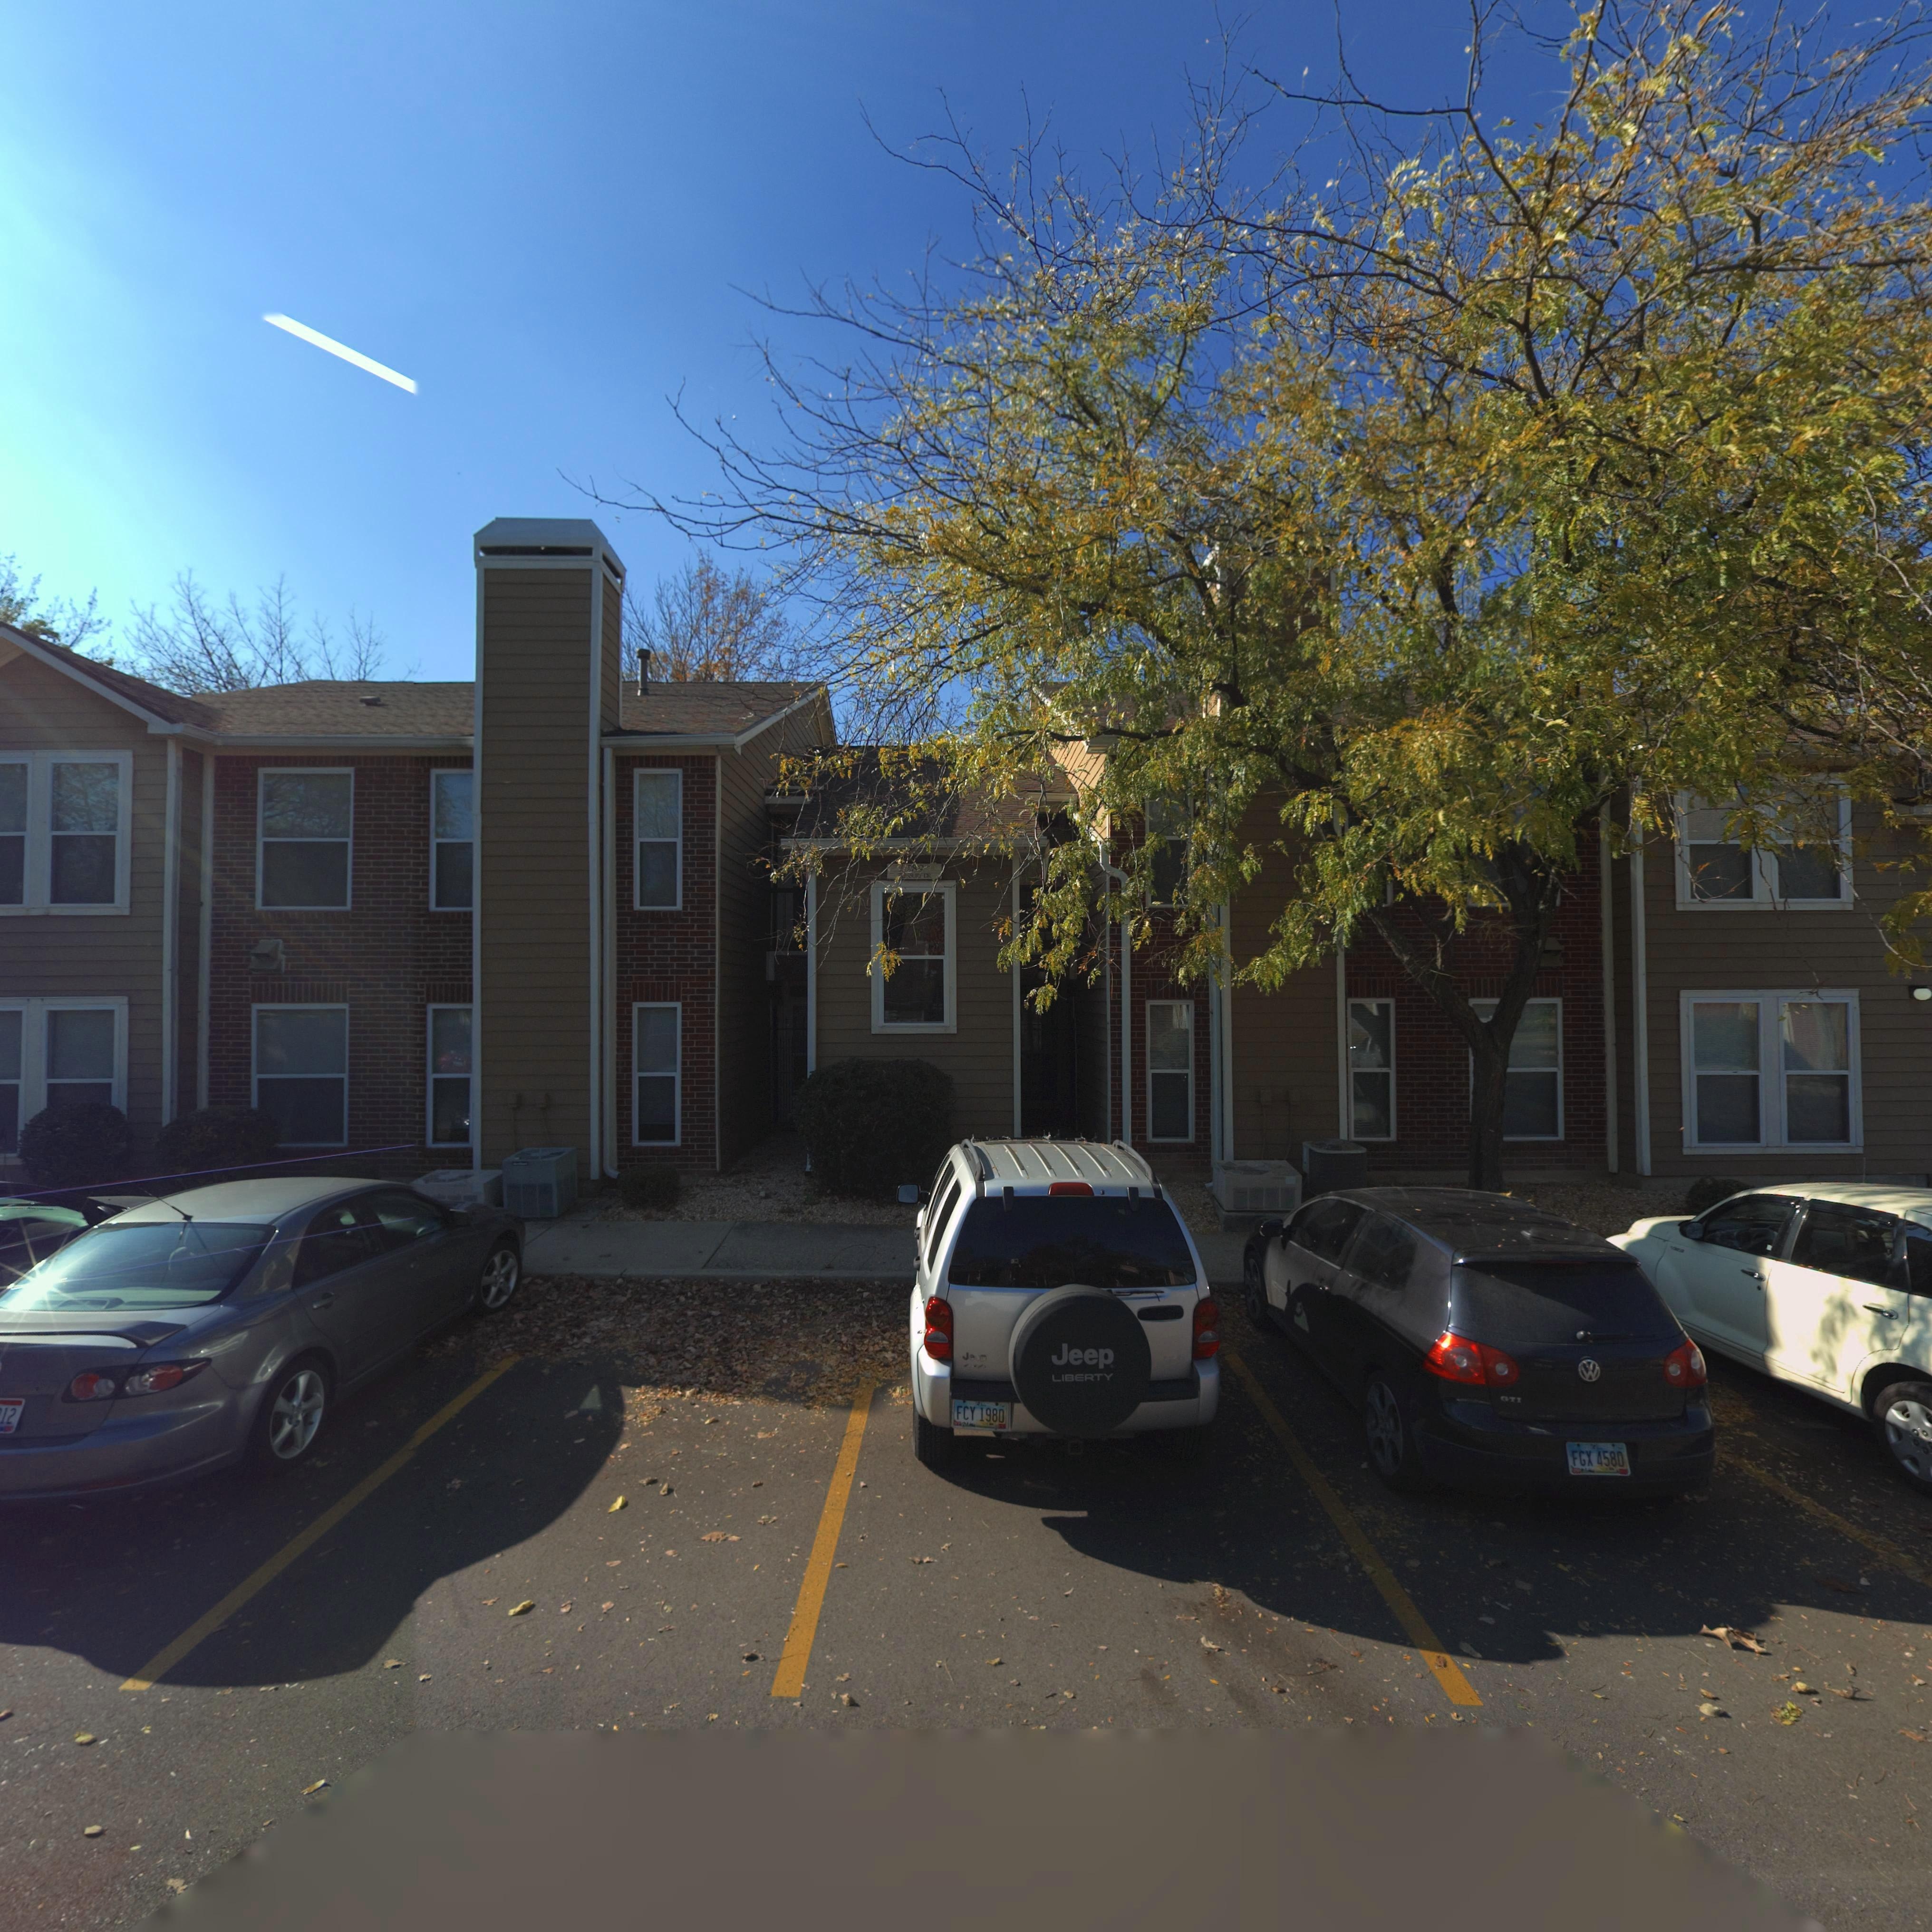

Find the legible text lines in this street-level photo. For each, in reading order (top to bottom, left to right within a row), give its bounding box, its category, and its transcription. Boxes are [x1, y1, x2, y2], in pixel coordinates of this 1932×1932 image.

[906, 864, 925, 873] StreetNumber: *8*
[897, 872, 932, 879] StreetName: ****SURY DR
[962, 1352, 988, 1363] None: Je*p
[1051, 1342, 1115, 1370] None: Jeep
[1051, 1372, 1114, 1382] None: LIBERTY
[1499, 1395, 1522, 1404] None: GTI
[0, 1406, 19, 1424] StreetNumber: 12
[956, 1405, 1005, 1423] None: FCY*1980
[1571, 1450, 1625, 1468] None: FGX*4580